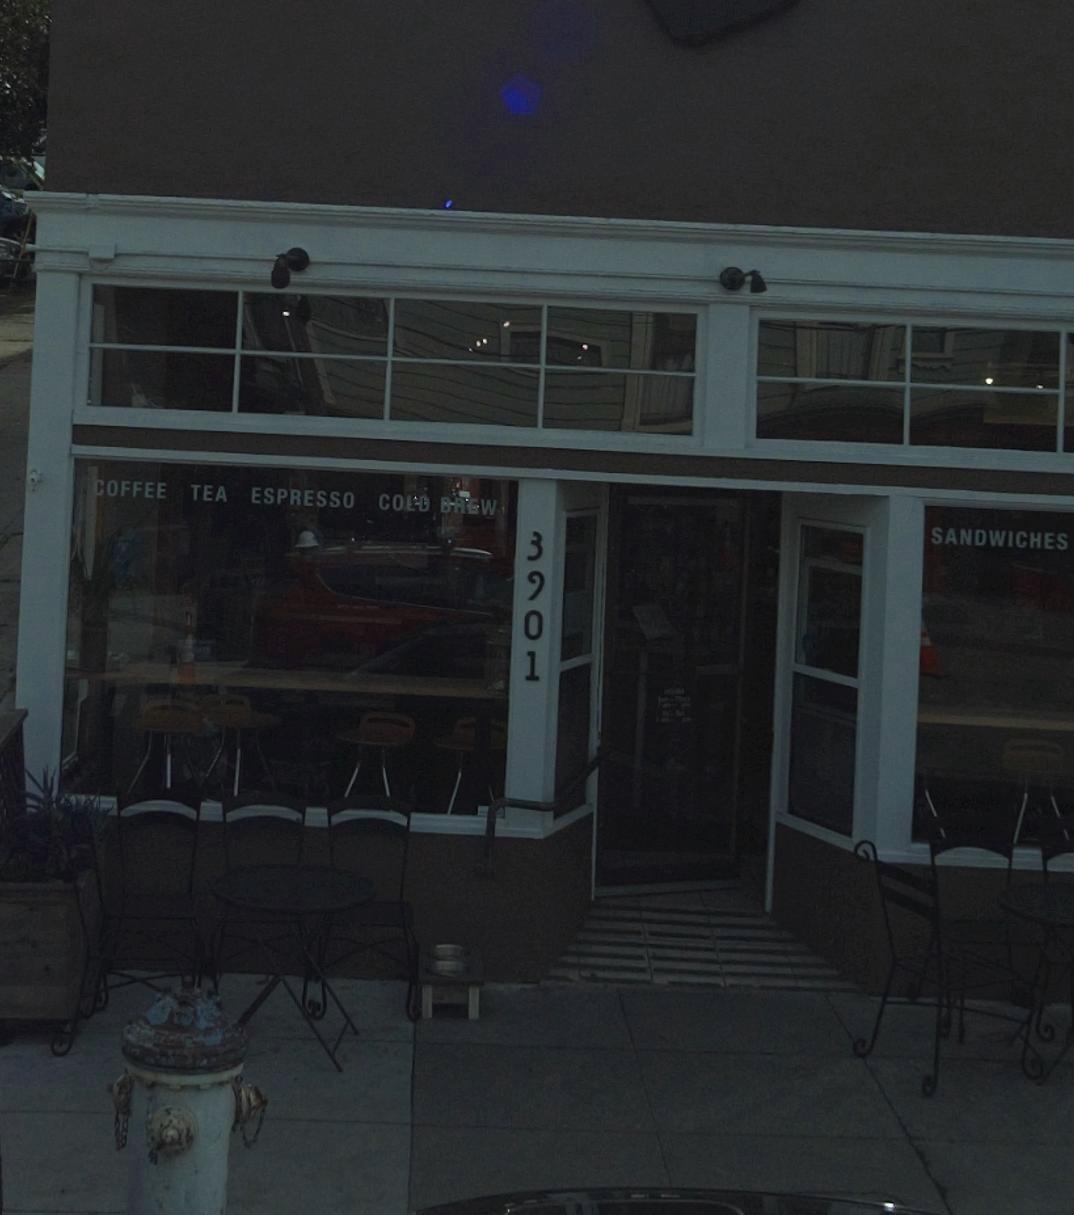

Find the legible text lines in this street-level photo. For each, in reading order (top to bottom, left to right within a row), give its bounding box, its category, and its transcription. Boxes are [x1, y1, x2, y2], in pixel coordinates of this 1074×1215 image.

[92, 478, 498, 517] None: COFFEE TEA ESPRESSO COLD BREW
[930, 525, 1069, 551] None: SANDWICHES
[520, 530, 547, 682] StreetNumber: 3901